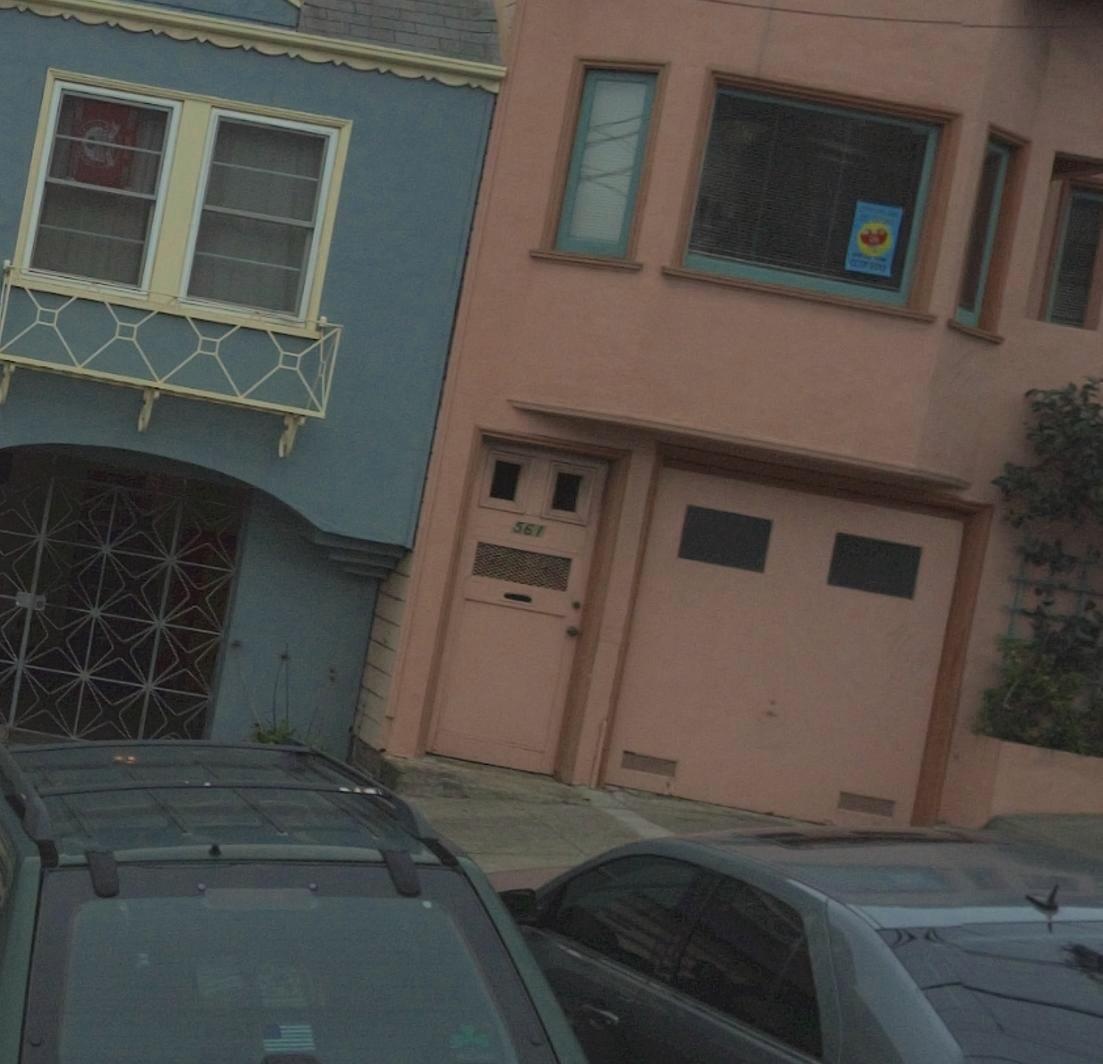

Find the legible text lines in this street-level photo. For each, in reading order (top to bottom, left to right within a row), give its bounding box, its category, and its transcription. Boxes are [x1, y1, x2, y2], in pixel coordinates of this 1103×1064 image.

[508, 519, 547, 540] StreetNumber: 561